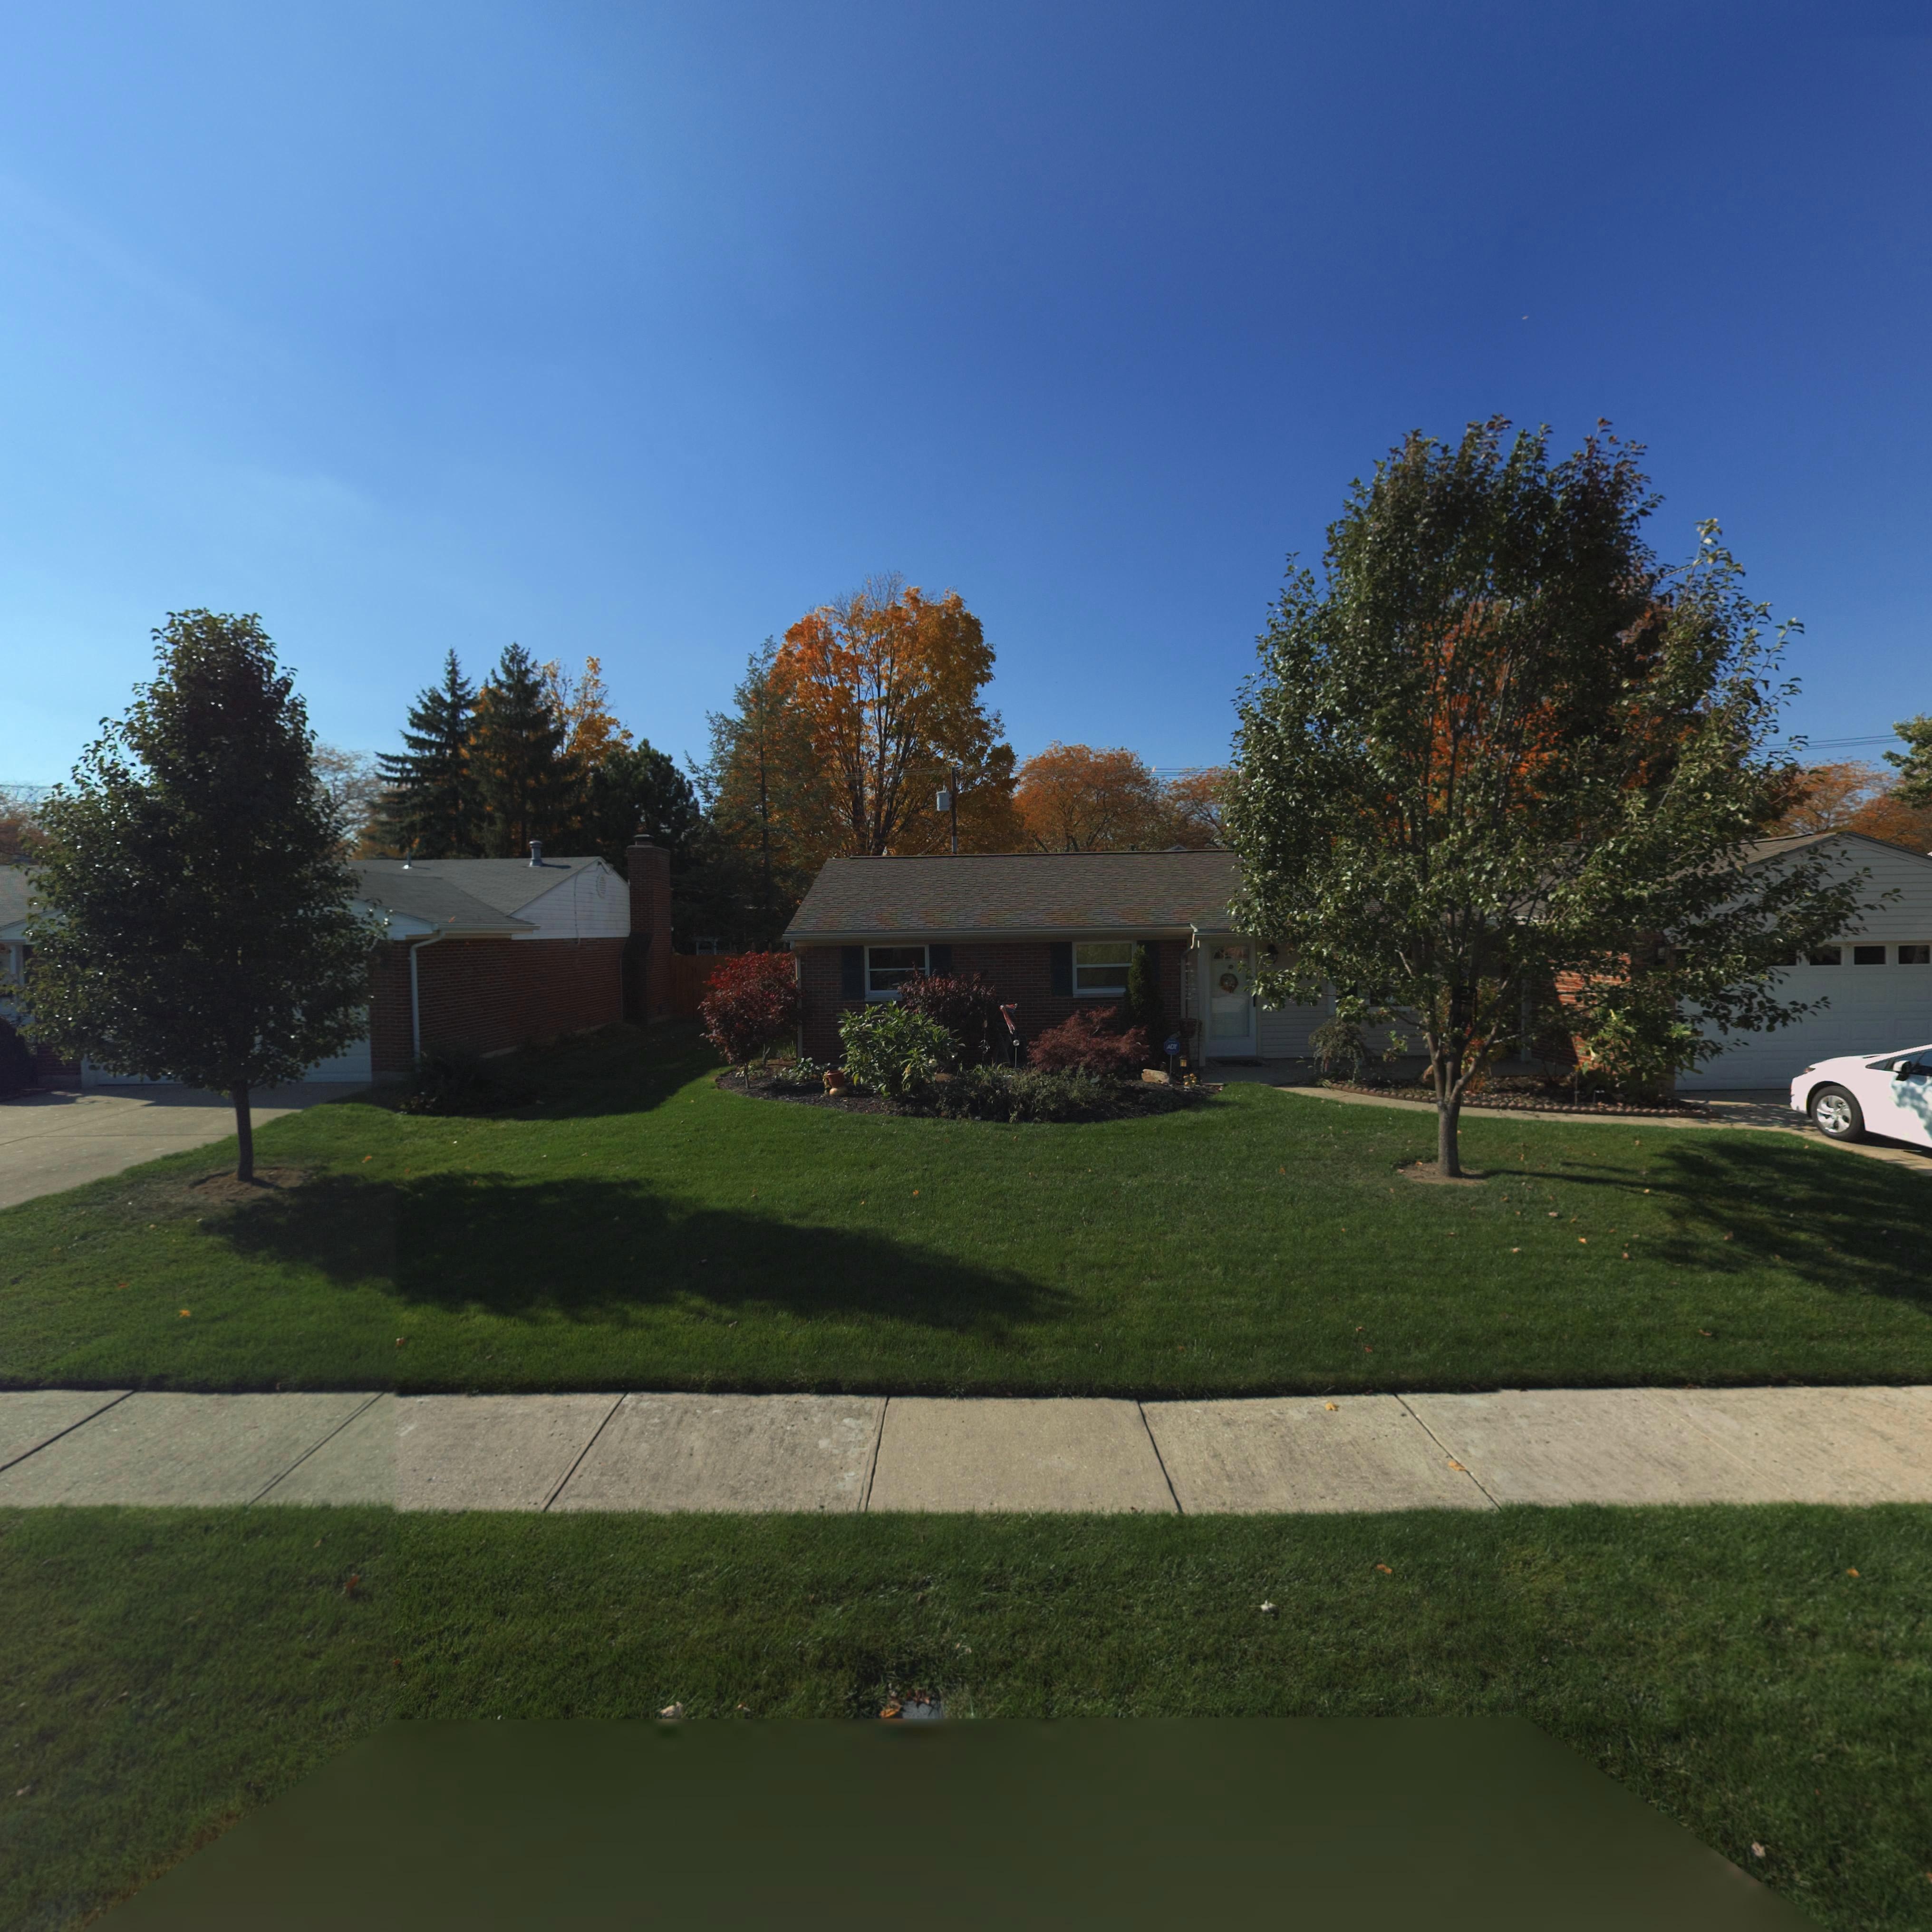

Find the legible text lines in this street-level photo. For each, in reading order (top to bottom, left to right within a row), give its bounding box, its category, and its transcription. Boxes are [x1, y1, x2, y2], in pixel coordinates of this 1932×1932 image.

[1165, 1043, 1179, 1051] None: ADT